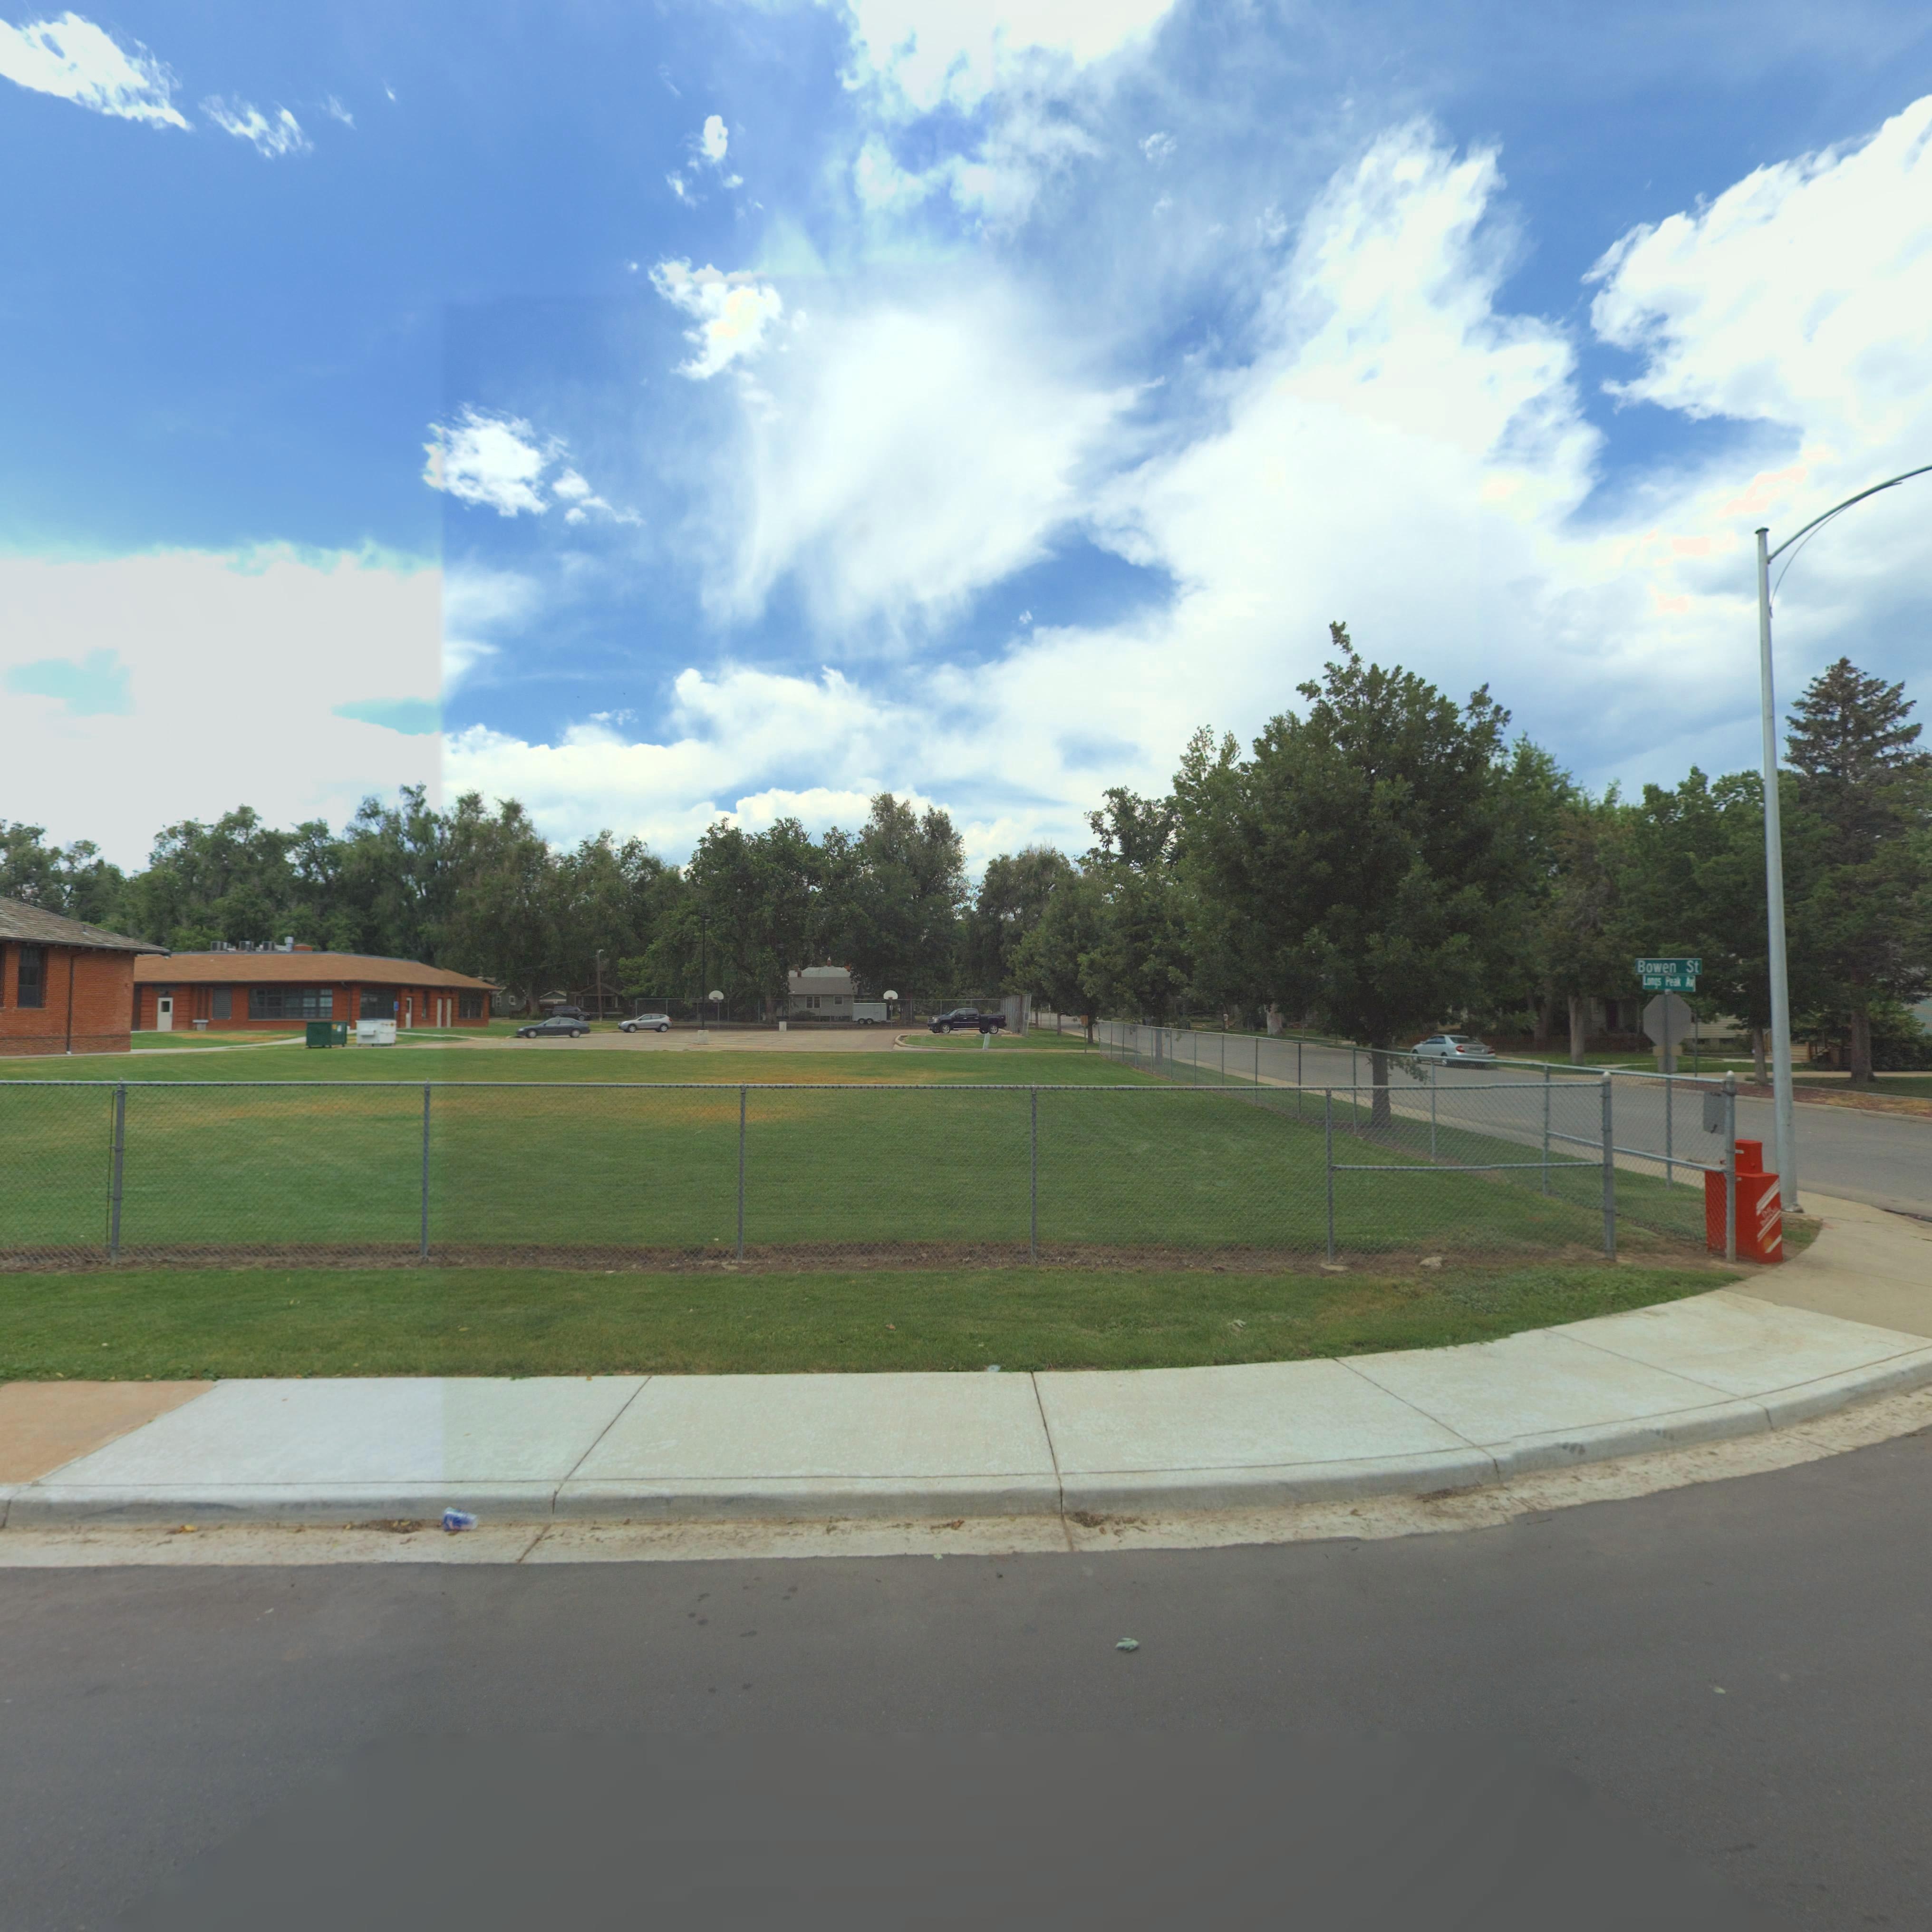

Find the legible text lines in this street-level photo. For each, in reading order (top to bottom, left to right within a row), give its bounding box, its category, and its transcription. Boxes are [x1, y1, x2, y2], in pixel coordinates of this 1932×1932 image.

[1638, 959, 1699, 973] StreetName: Bowen St
[1643, 975, 1695, 989] StreetName: Longs Peak Av